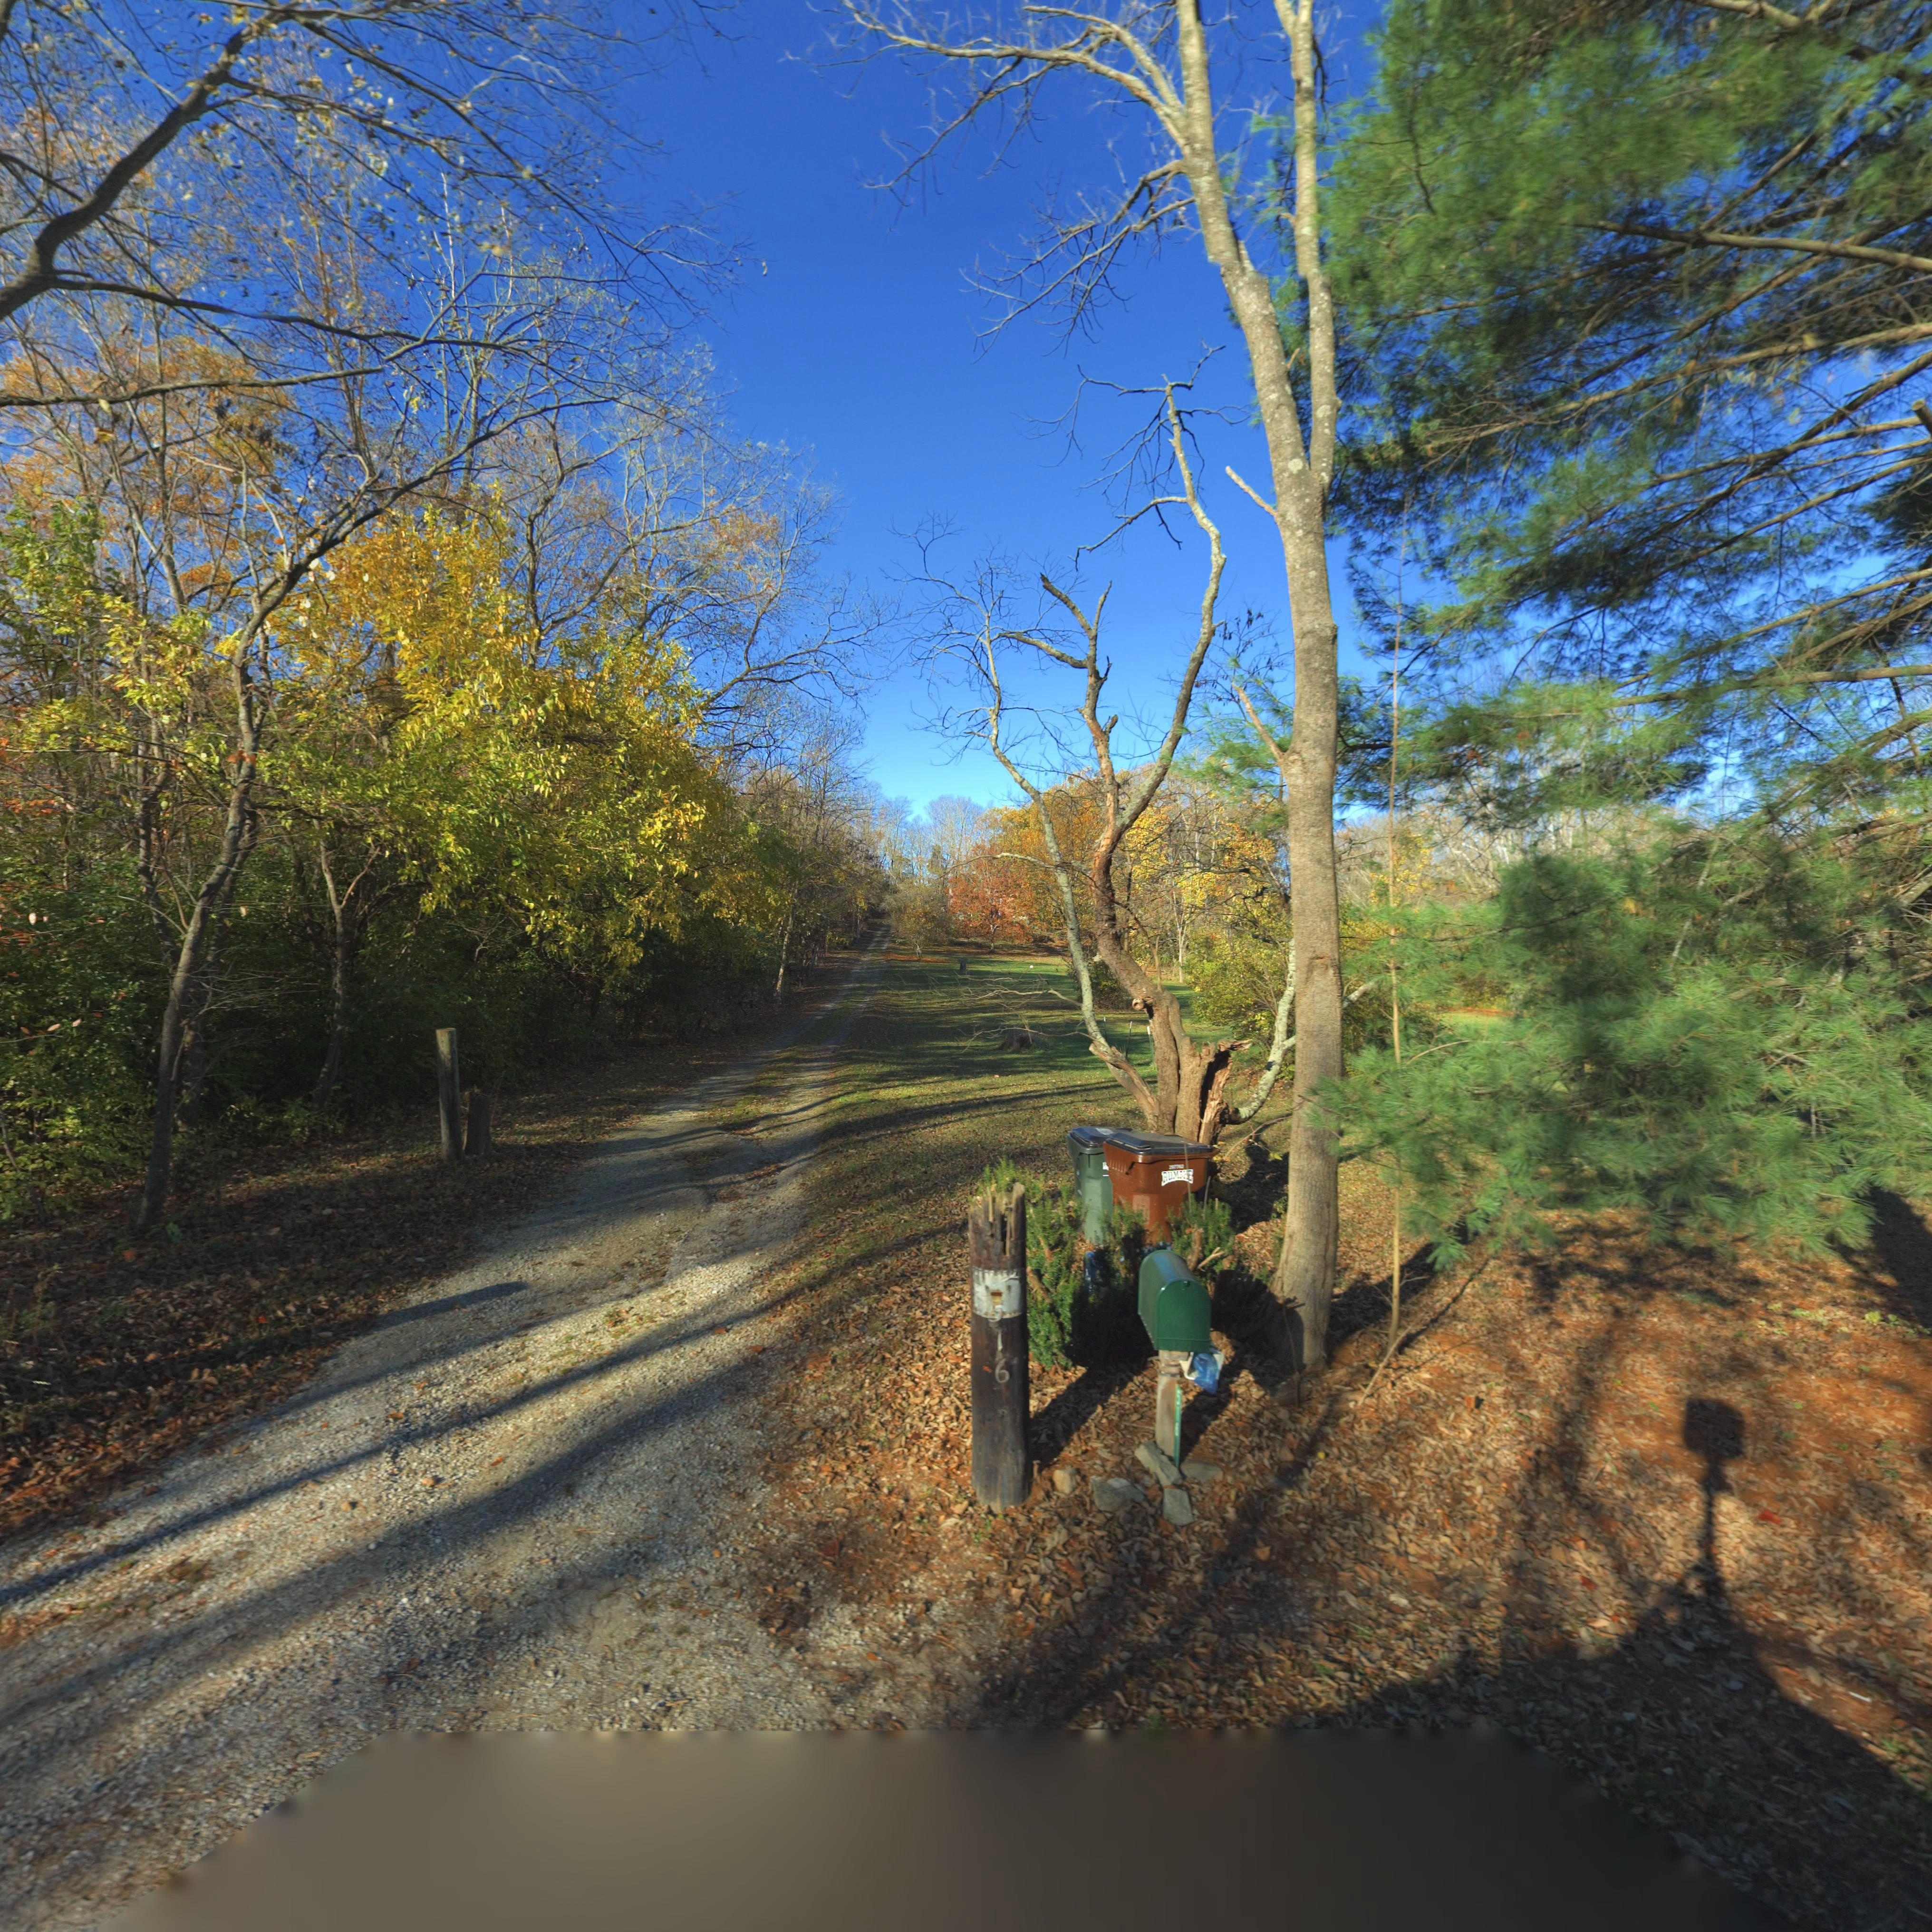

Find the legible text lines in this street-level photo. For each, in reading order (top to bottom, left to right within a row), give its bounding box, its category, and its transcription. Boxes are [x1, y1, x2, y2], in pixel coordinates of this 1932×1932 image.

[987, 1299, 1012, 1385] StreetNumber: 516
[1174, 1387, 1183, 1437] StreetNumber: 516